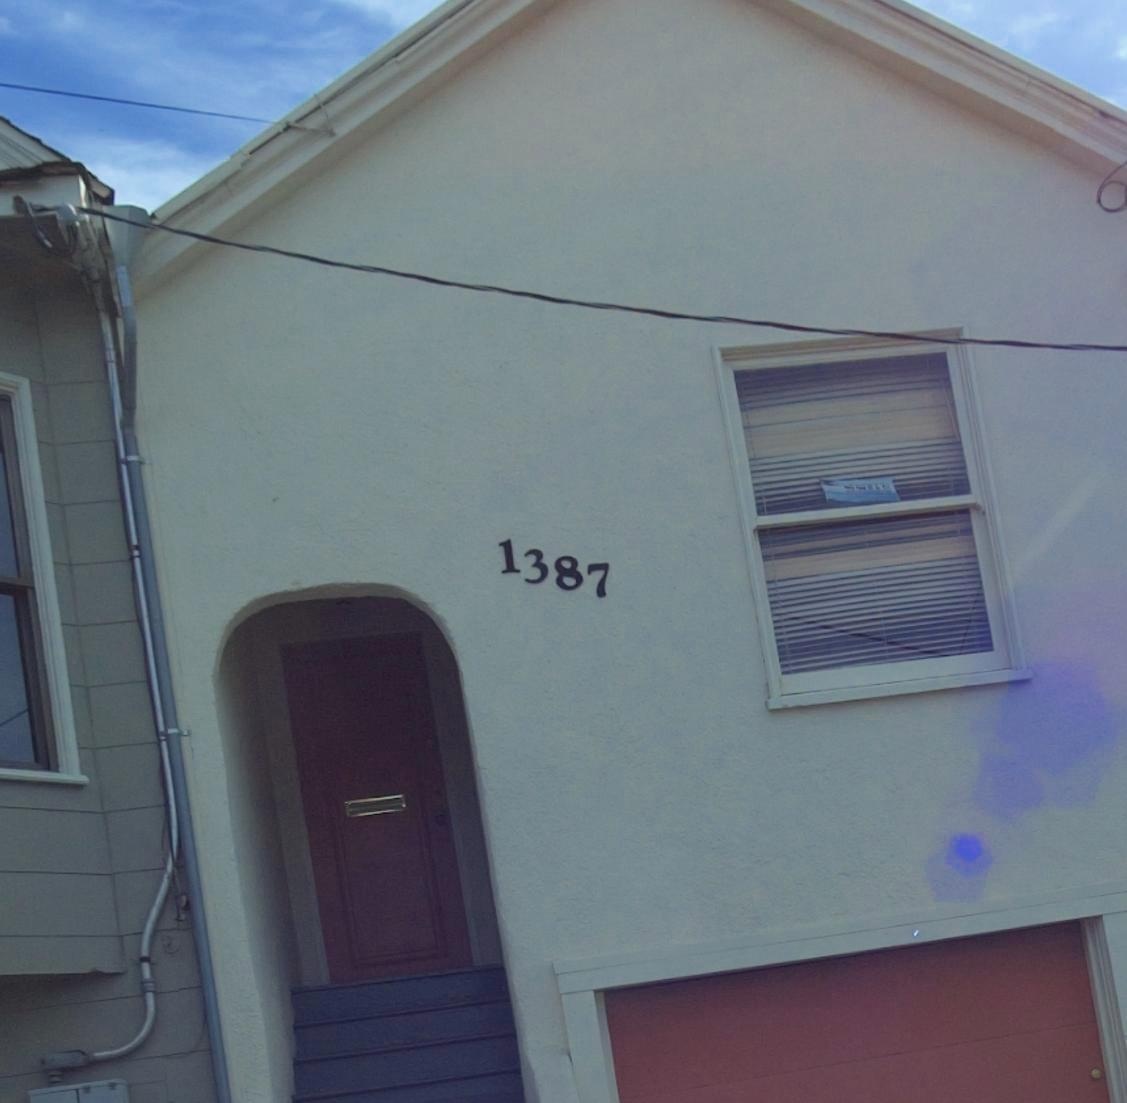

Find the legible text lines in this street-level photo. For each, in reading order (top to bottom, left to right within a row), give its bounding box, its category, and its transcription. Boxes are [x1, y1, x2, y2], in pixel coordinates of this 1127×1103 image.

[497, 533, 611, 602] StreetNumber: 1387